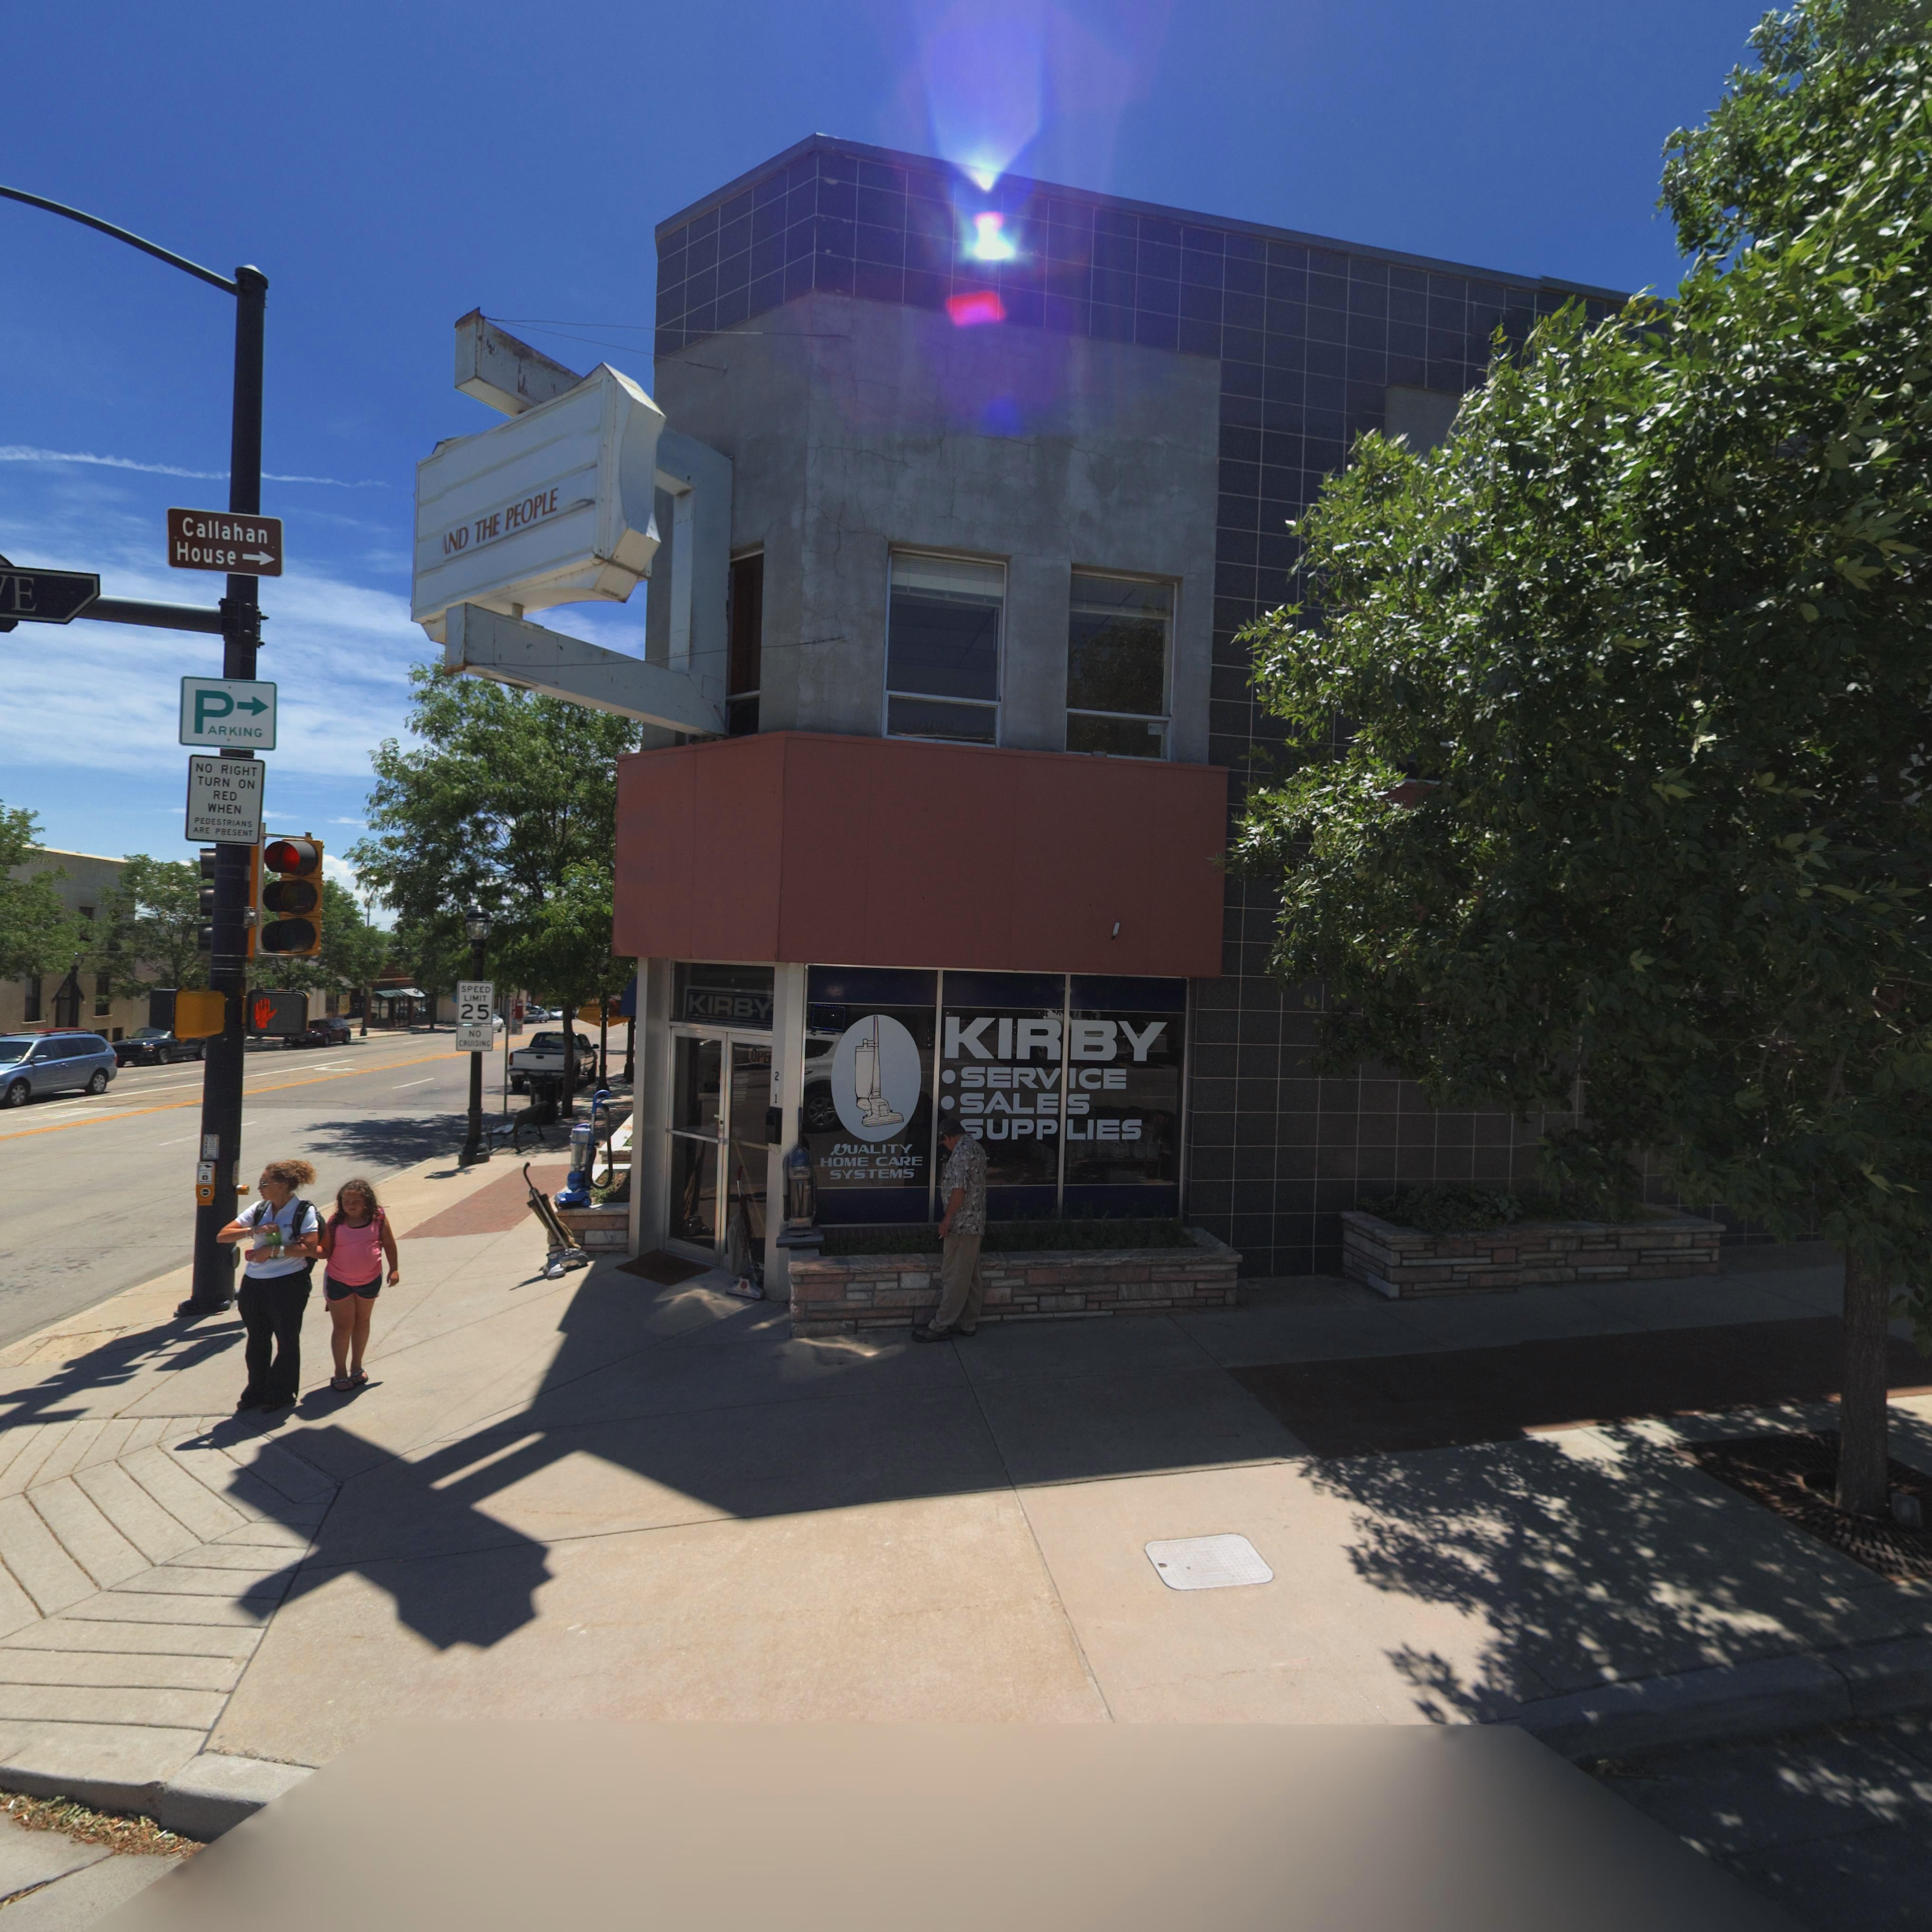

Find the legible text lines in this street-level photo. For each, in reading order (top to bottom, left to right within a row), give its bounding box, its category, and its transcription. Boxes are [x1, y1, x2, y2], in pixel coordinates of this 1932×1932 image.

[10, 575, 36, 612] StreetName: E
[688, 993, 773, 1019] BusinessName: KIRBY
[944, 1015, 1168, 1061] BusinessName: KIRBY
[773, 1071, 779, 1103] StreetNumber: 2*1